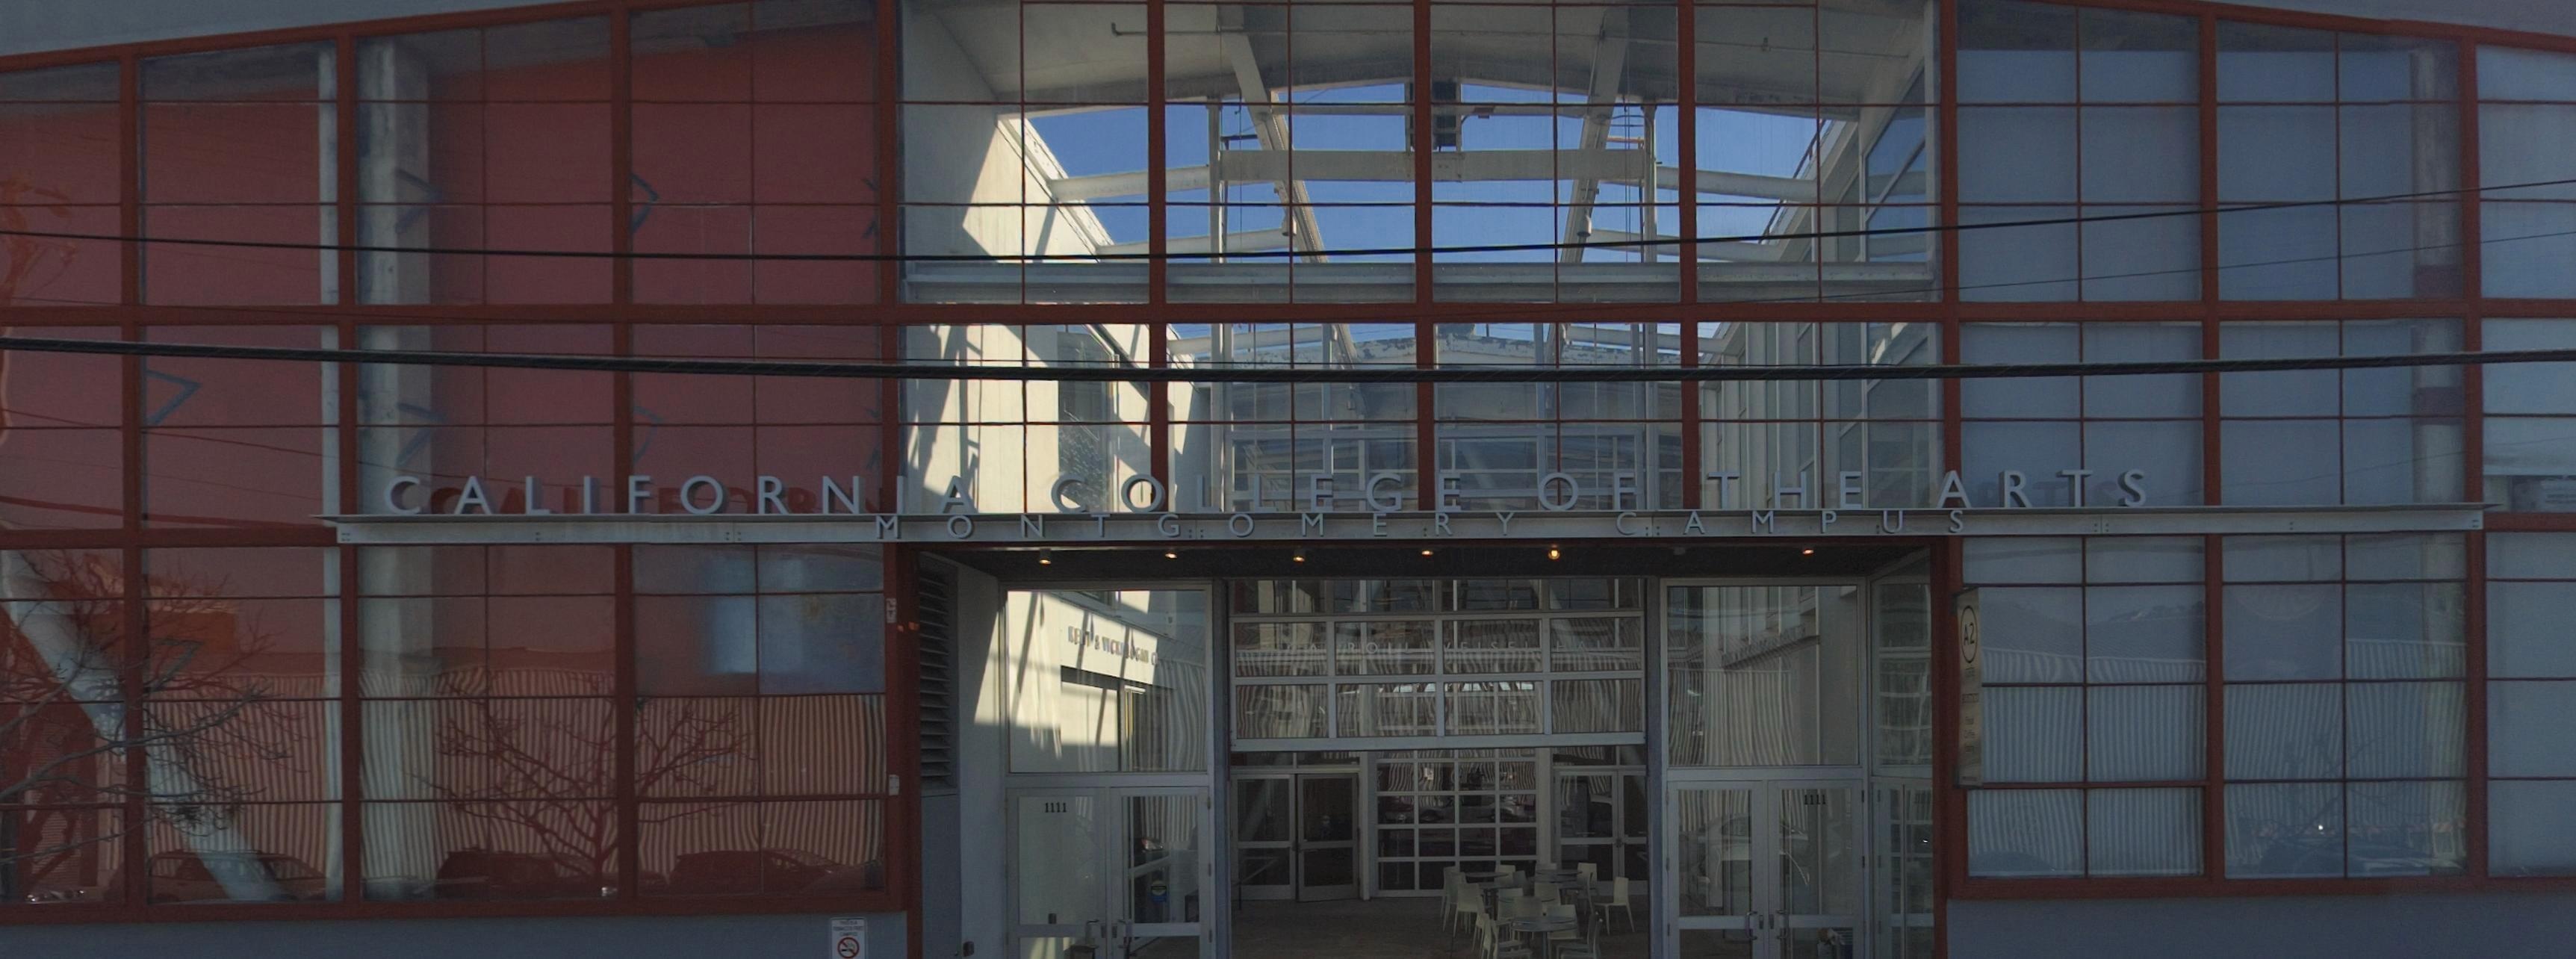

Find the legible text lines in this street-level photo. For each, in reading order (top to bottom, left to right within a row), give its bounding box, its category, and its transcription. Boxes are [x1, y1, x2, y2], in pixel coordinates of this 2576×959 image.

[378, 468, 2150, 514] BusinessName: CALIFORNIA COLLEGE OF THE ARTS
[874, 509, 1966, 540] None: MONTGOMERY CAMPUS
[1963, 621, 1976, 647] None: A2
[1043, 801, 1067, 813] StreetNumber: 1111